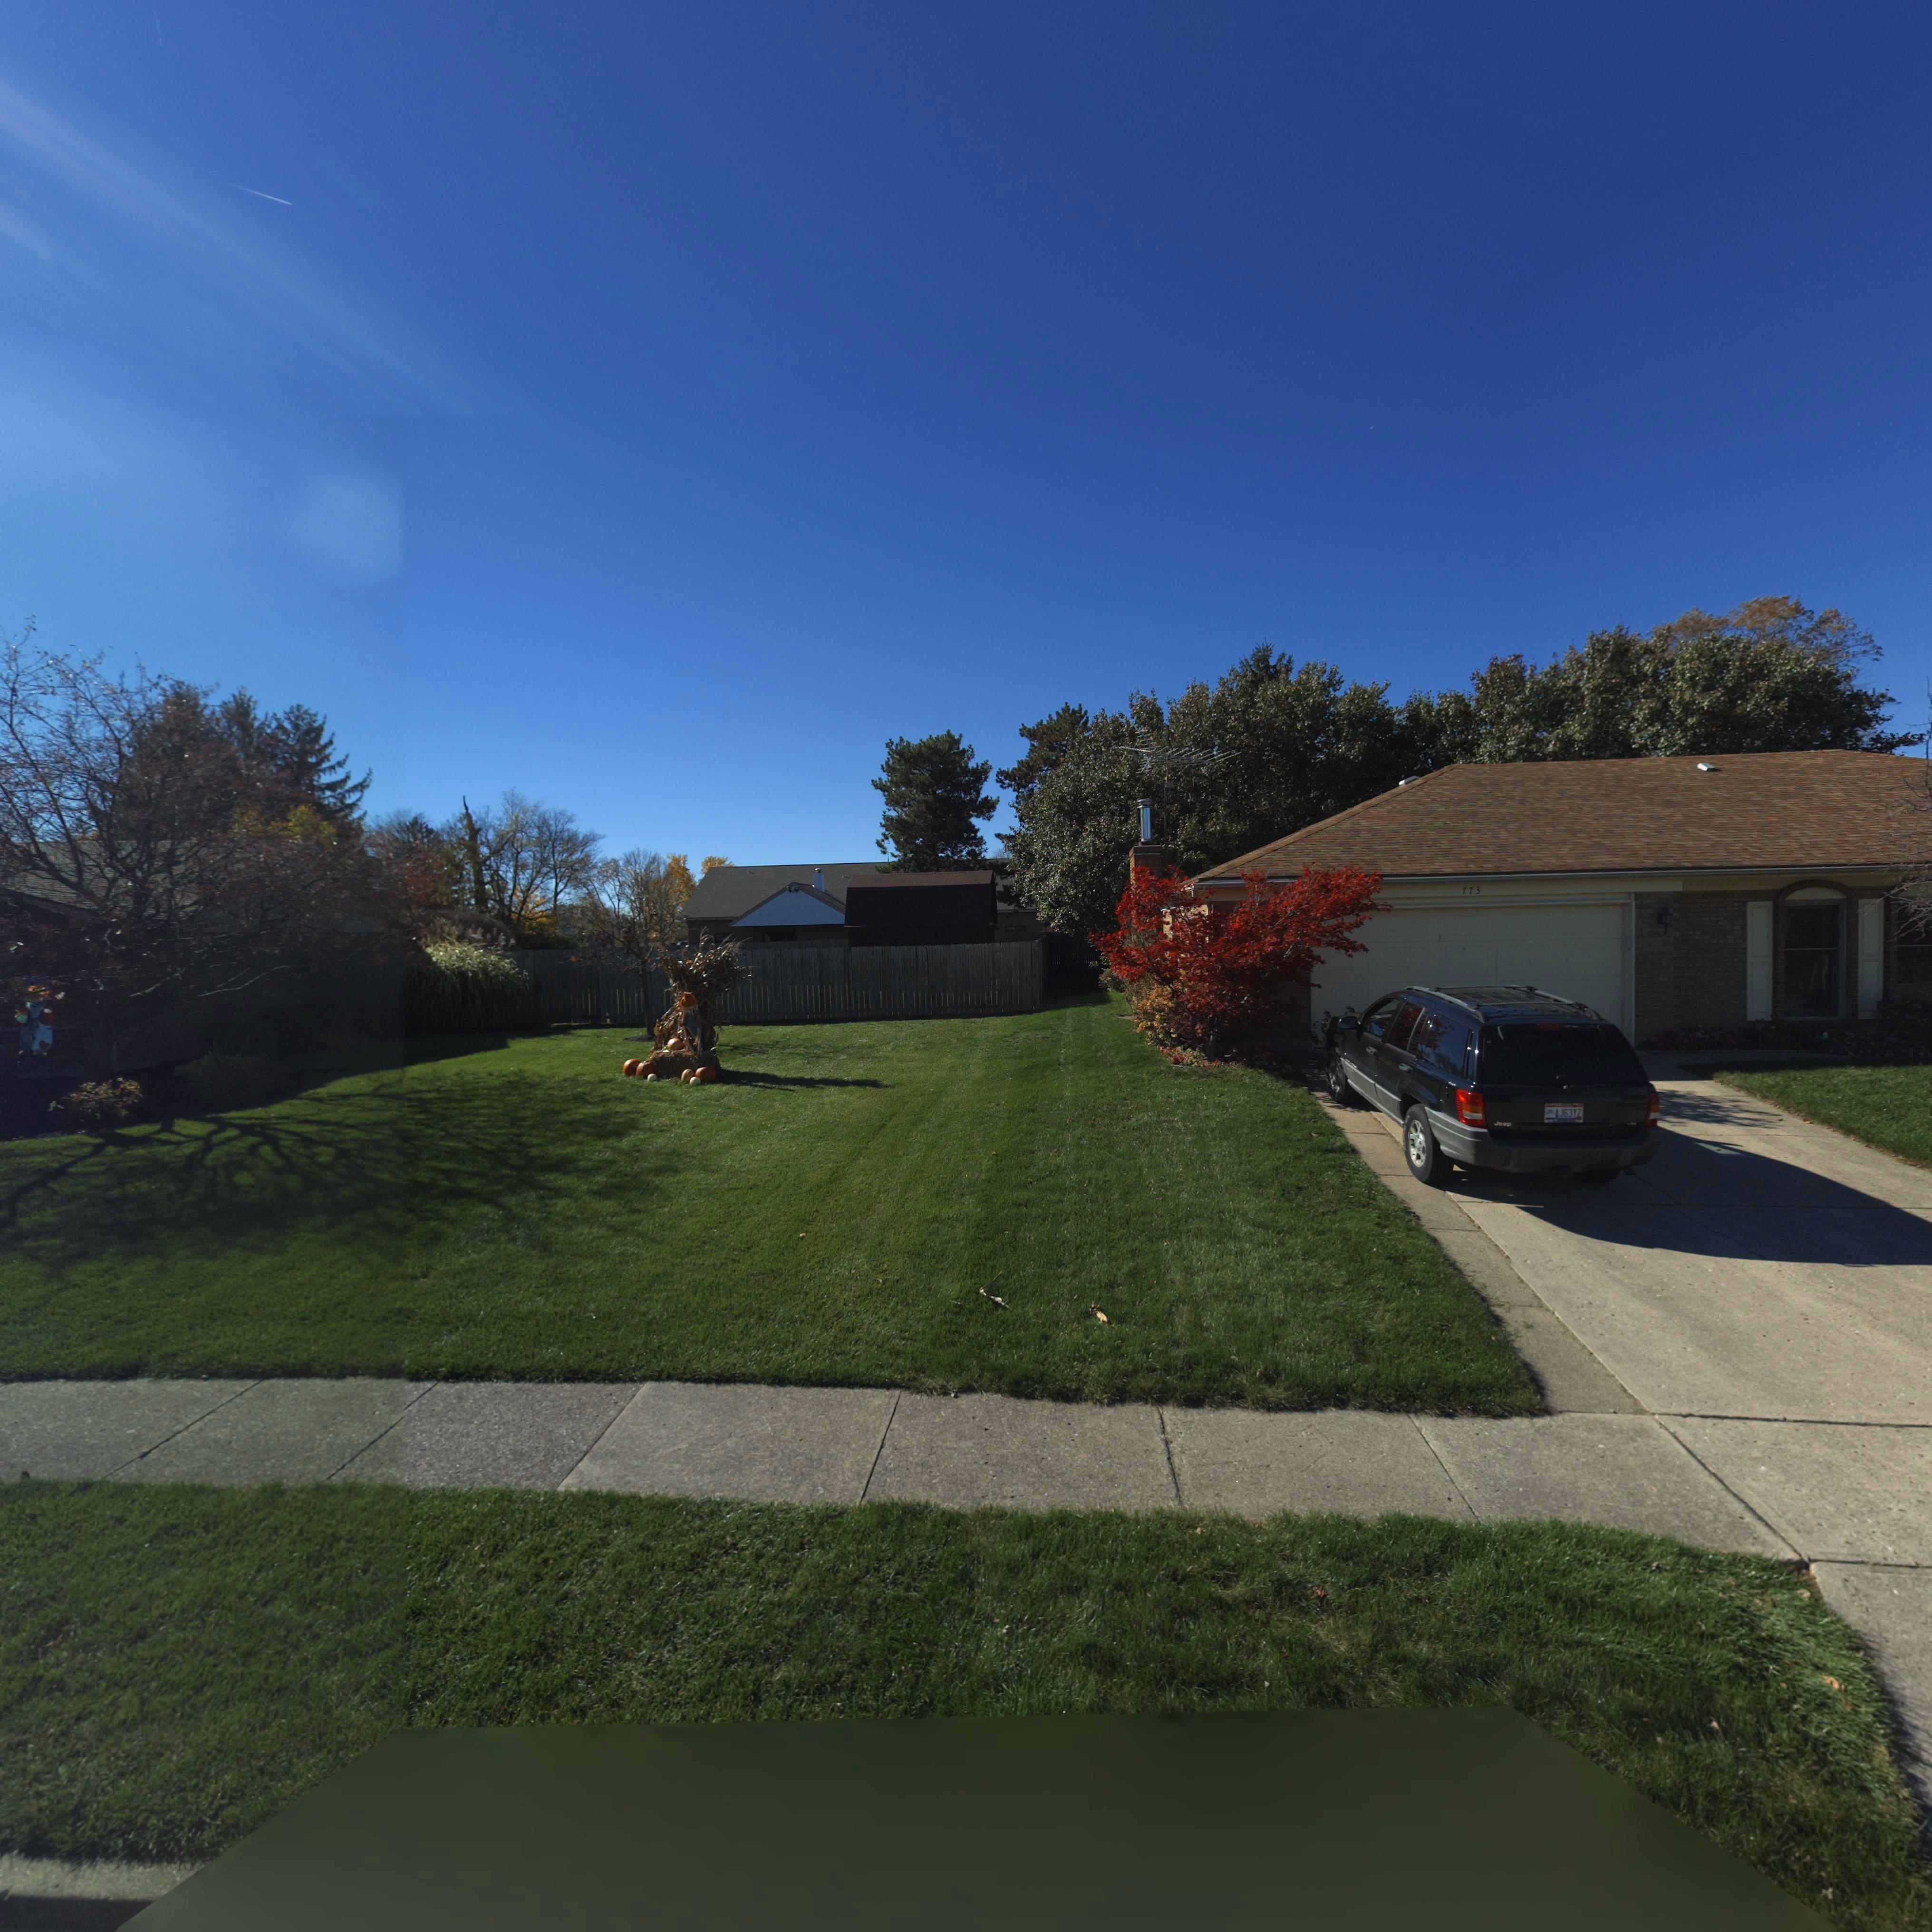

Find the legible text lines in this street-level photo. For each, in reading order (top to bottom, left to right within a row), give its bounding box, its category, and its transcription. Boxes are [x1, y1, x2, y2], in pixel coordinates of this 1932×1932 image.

[1461, 886, 1480, 895] StreetNumber: 773